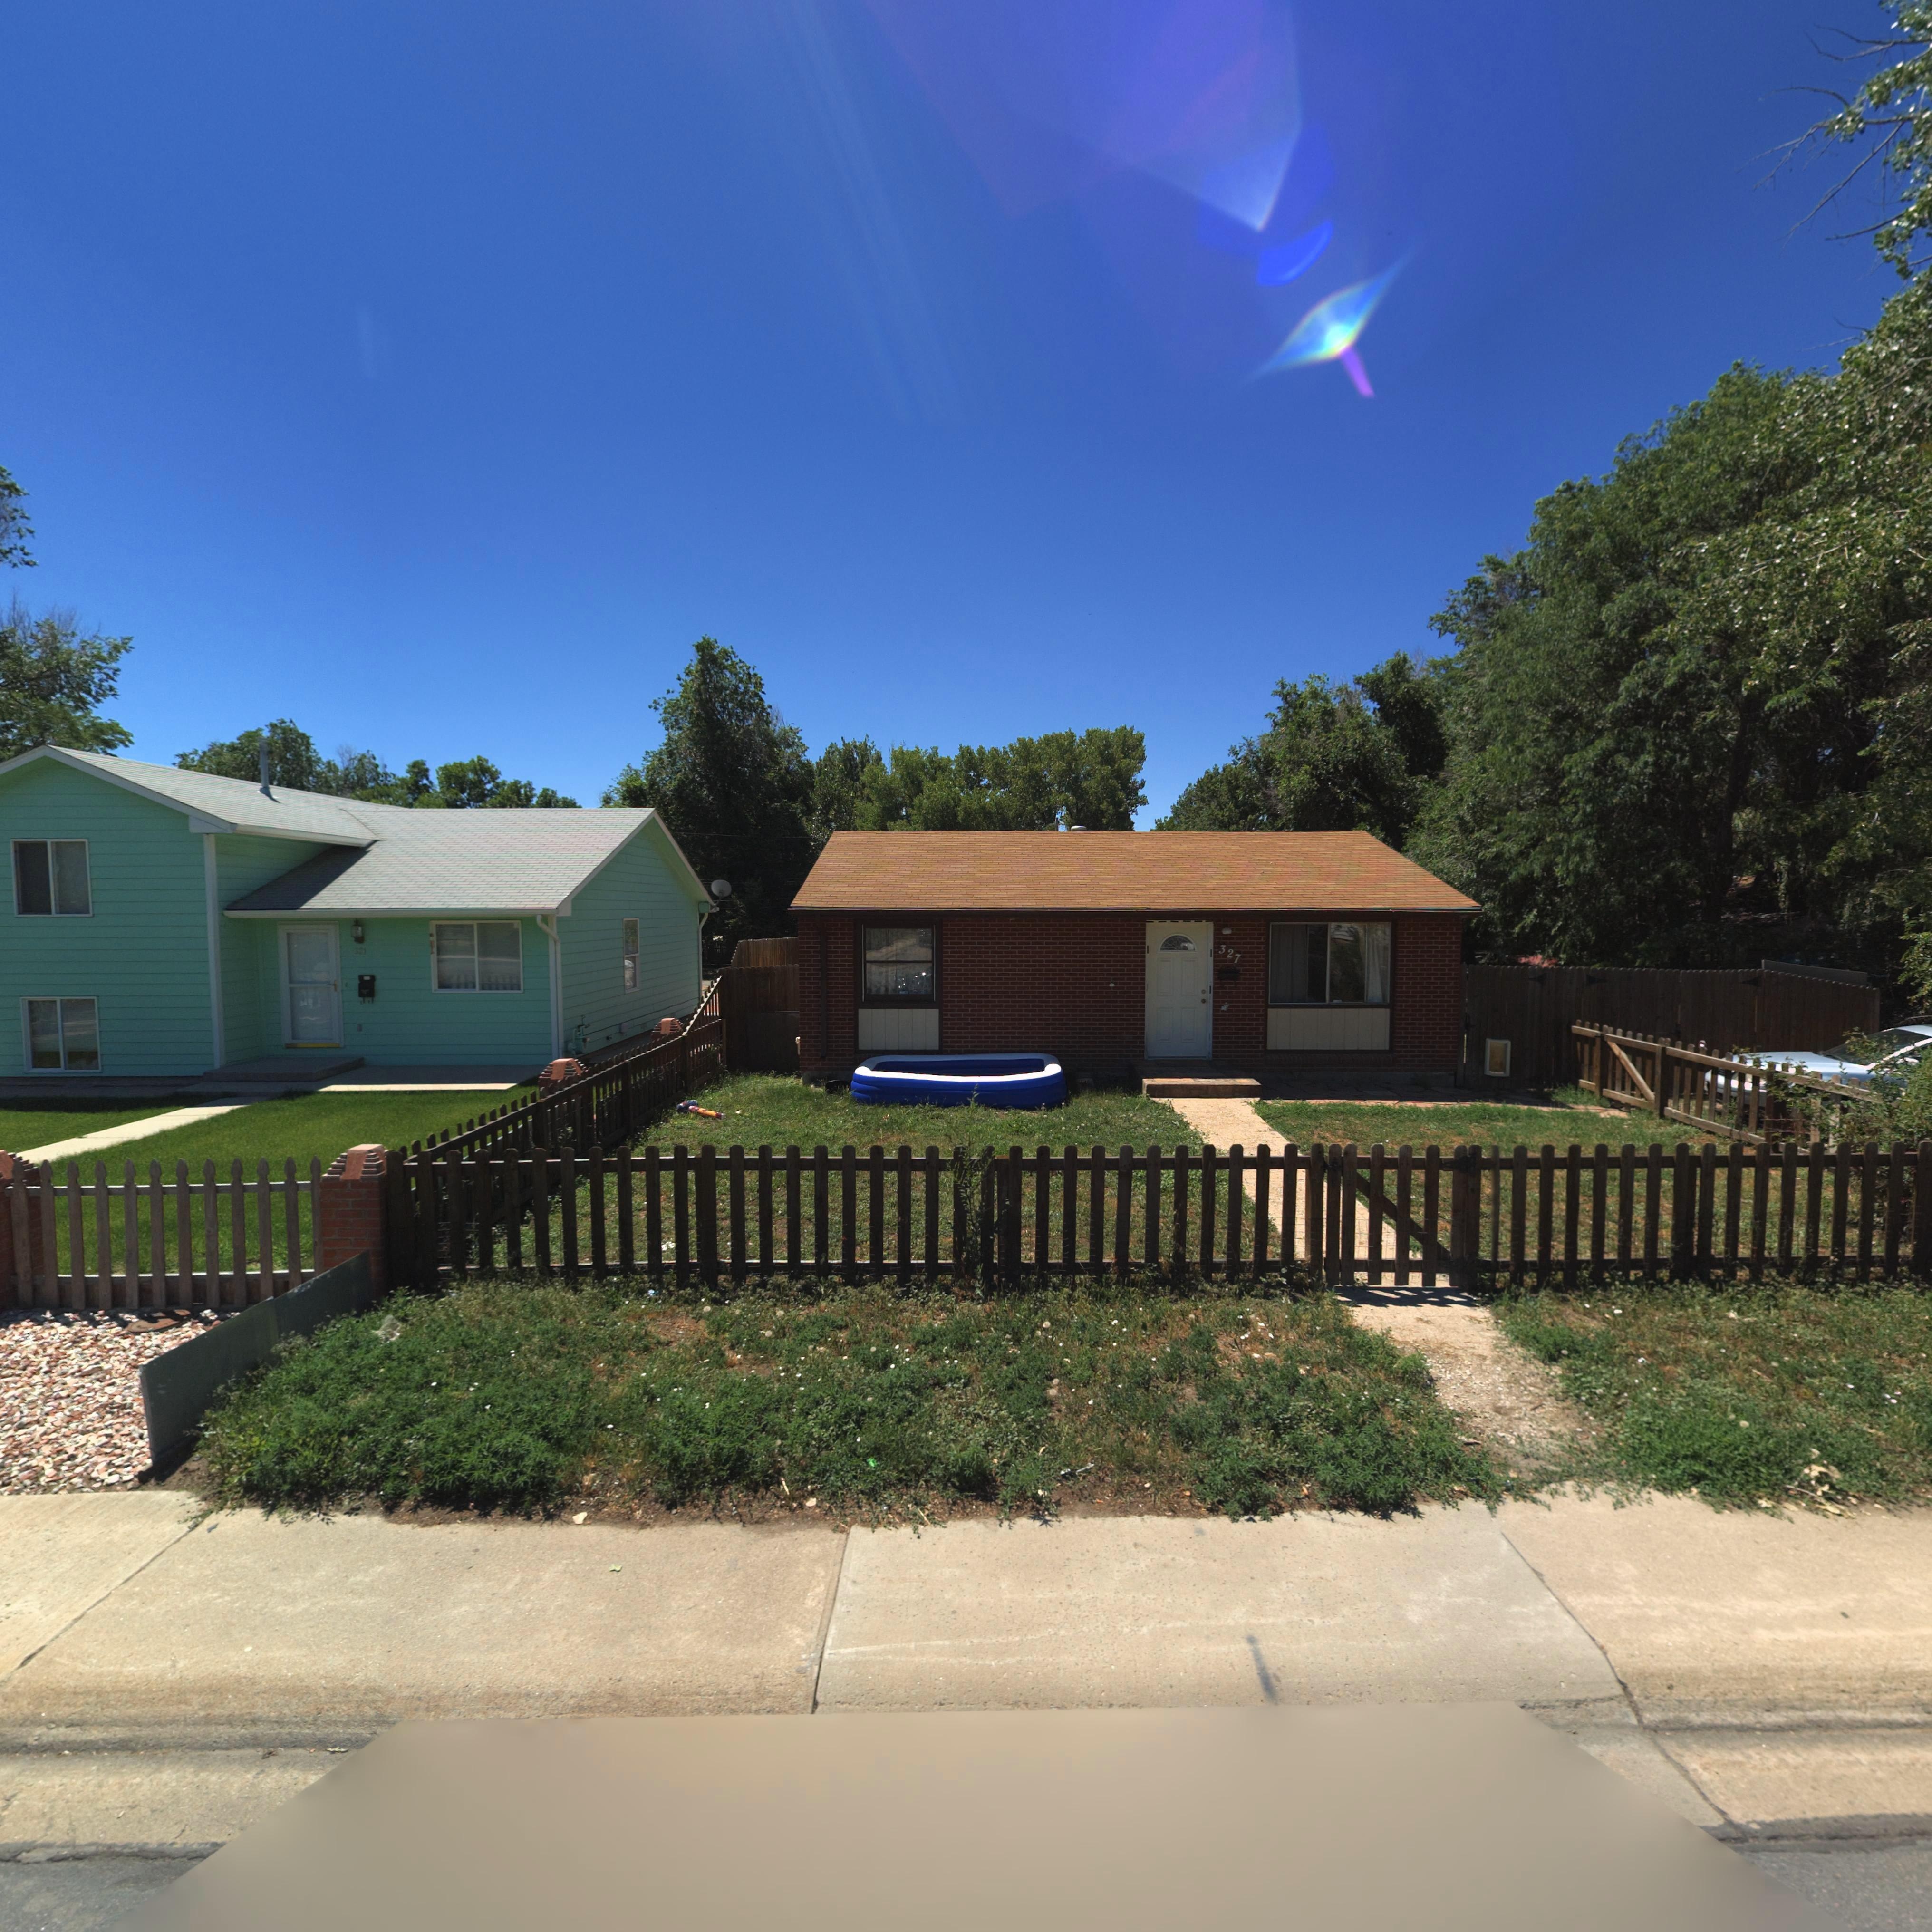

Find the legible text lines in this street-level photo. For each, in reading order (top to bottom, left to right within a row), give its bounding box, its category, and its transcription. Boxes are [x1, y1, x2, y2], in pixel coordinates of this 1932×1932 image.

[353, 946, 367, 956] StreetNumber: 321
[1218, 944, 1242, 964] StreetNumber: 327